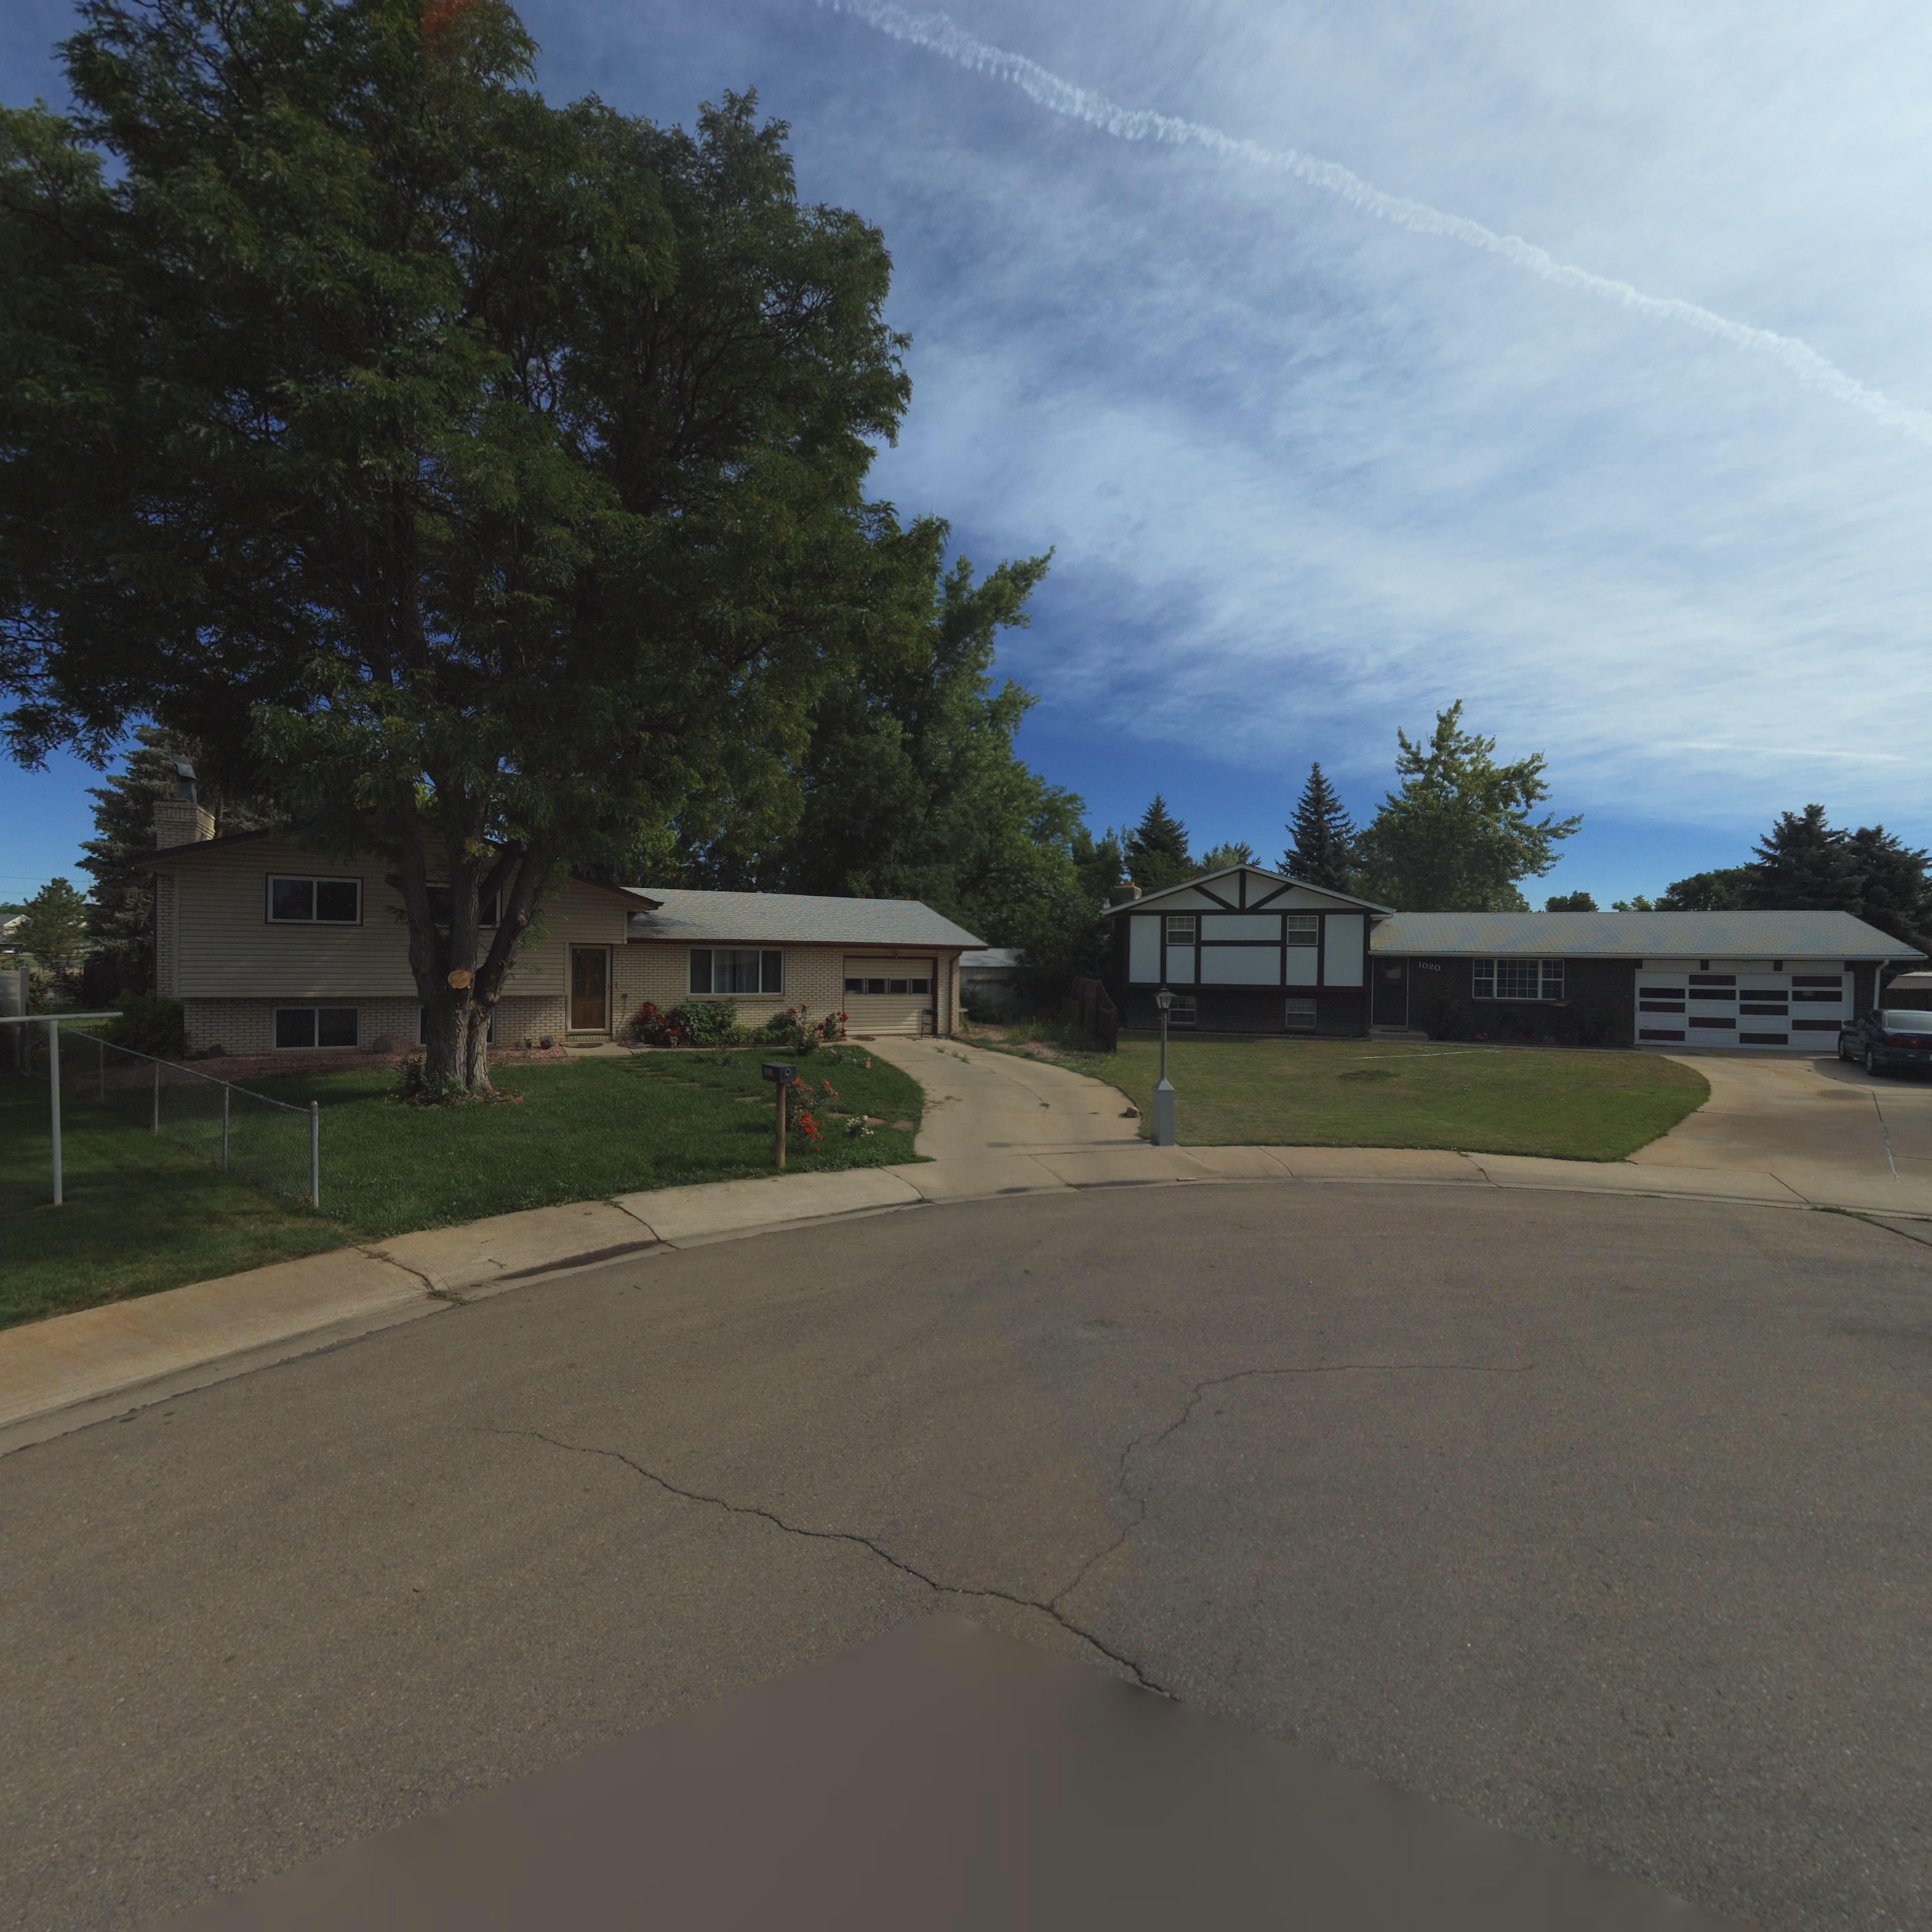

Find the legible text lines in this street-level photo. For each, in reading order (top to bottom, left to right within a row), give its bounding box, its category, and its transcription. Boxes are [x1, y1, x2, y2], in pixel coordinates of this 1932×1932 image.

[1417, 961, 1441, 971] StreetNumber: 1020
[763, 1068, 773, 1076] StreetNumber: *026